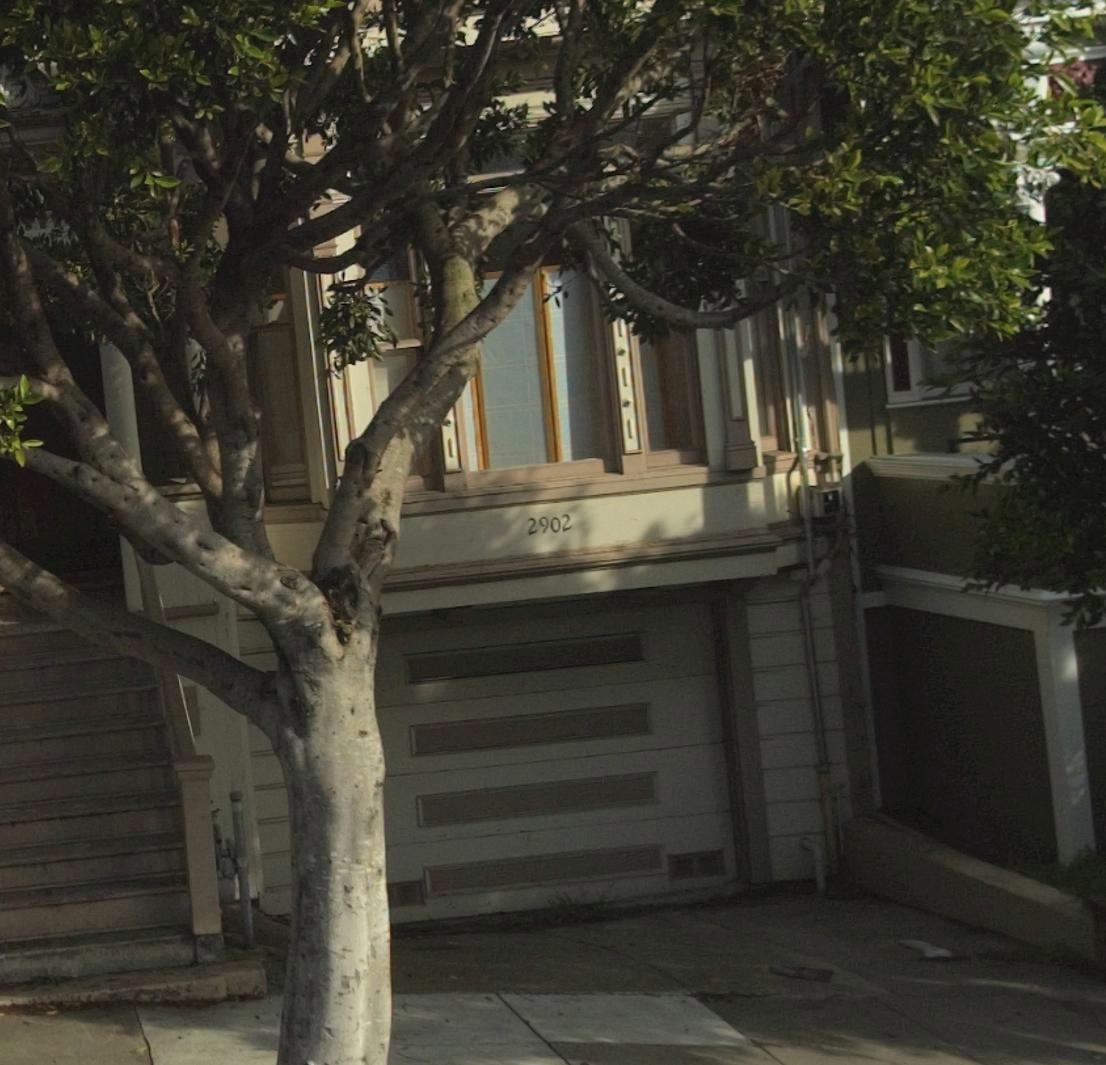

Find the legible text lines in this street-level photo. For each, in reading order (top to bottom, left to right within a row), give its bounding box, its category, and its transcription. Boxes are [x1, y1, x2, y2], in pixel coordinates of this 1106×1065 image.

[524, 510, 576, 539] StreetNumber: 2902